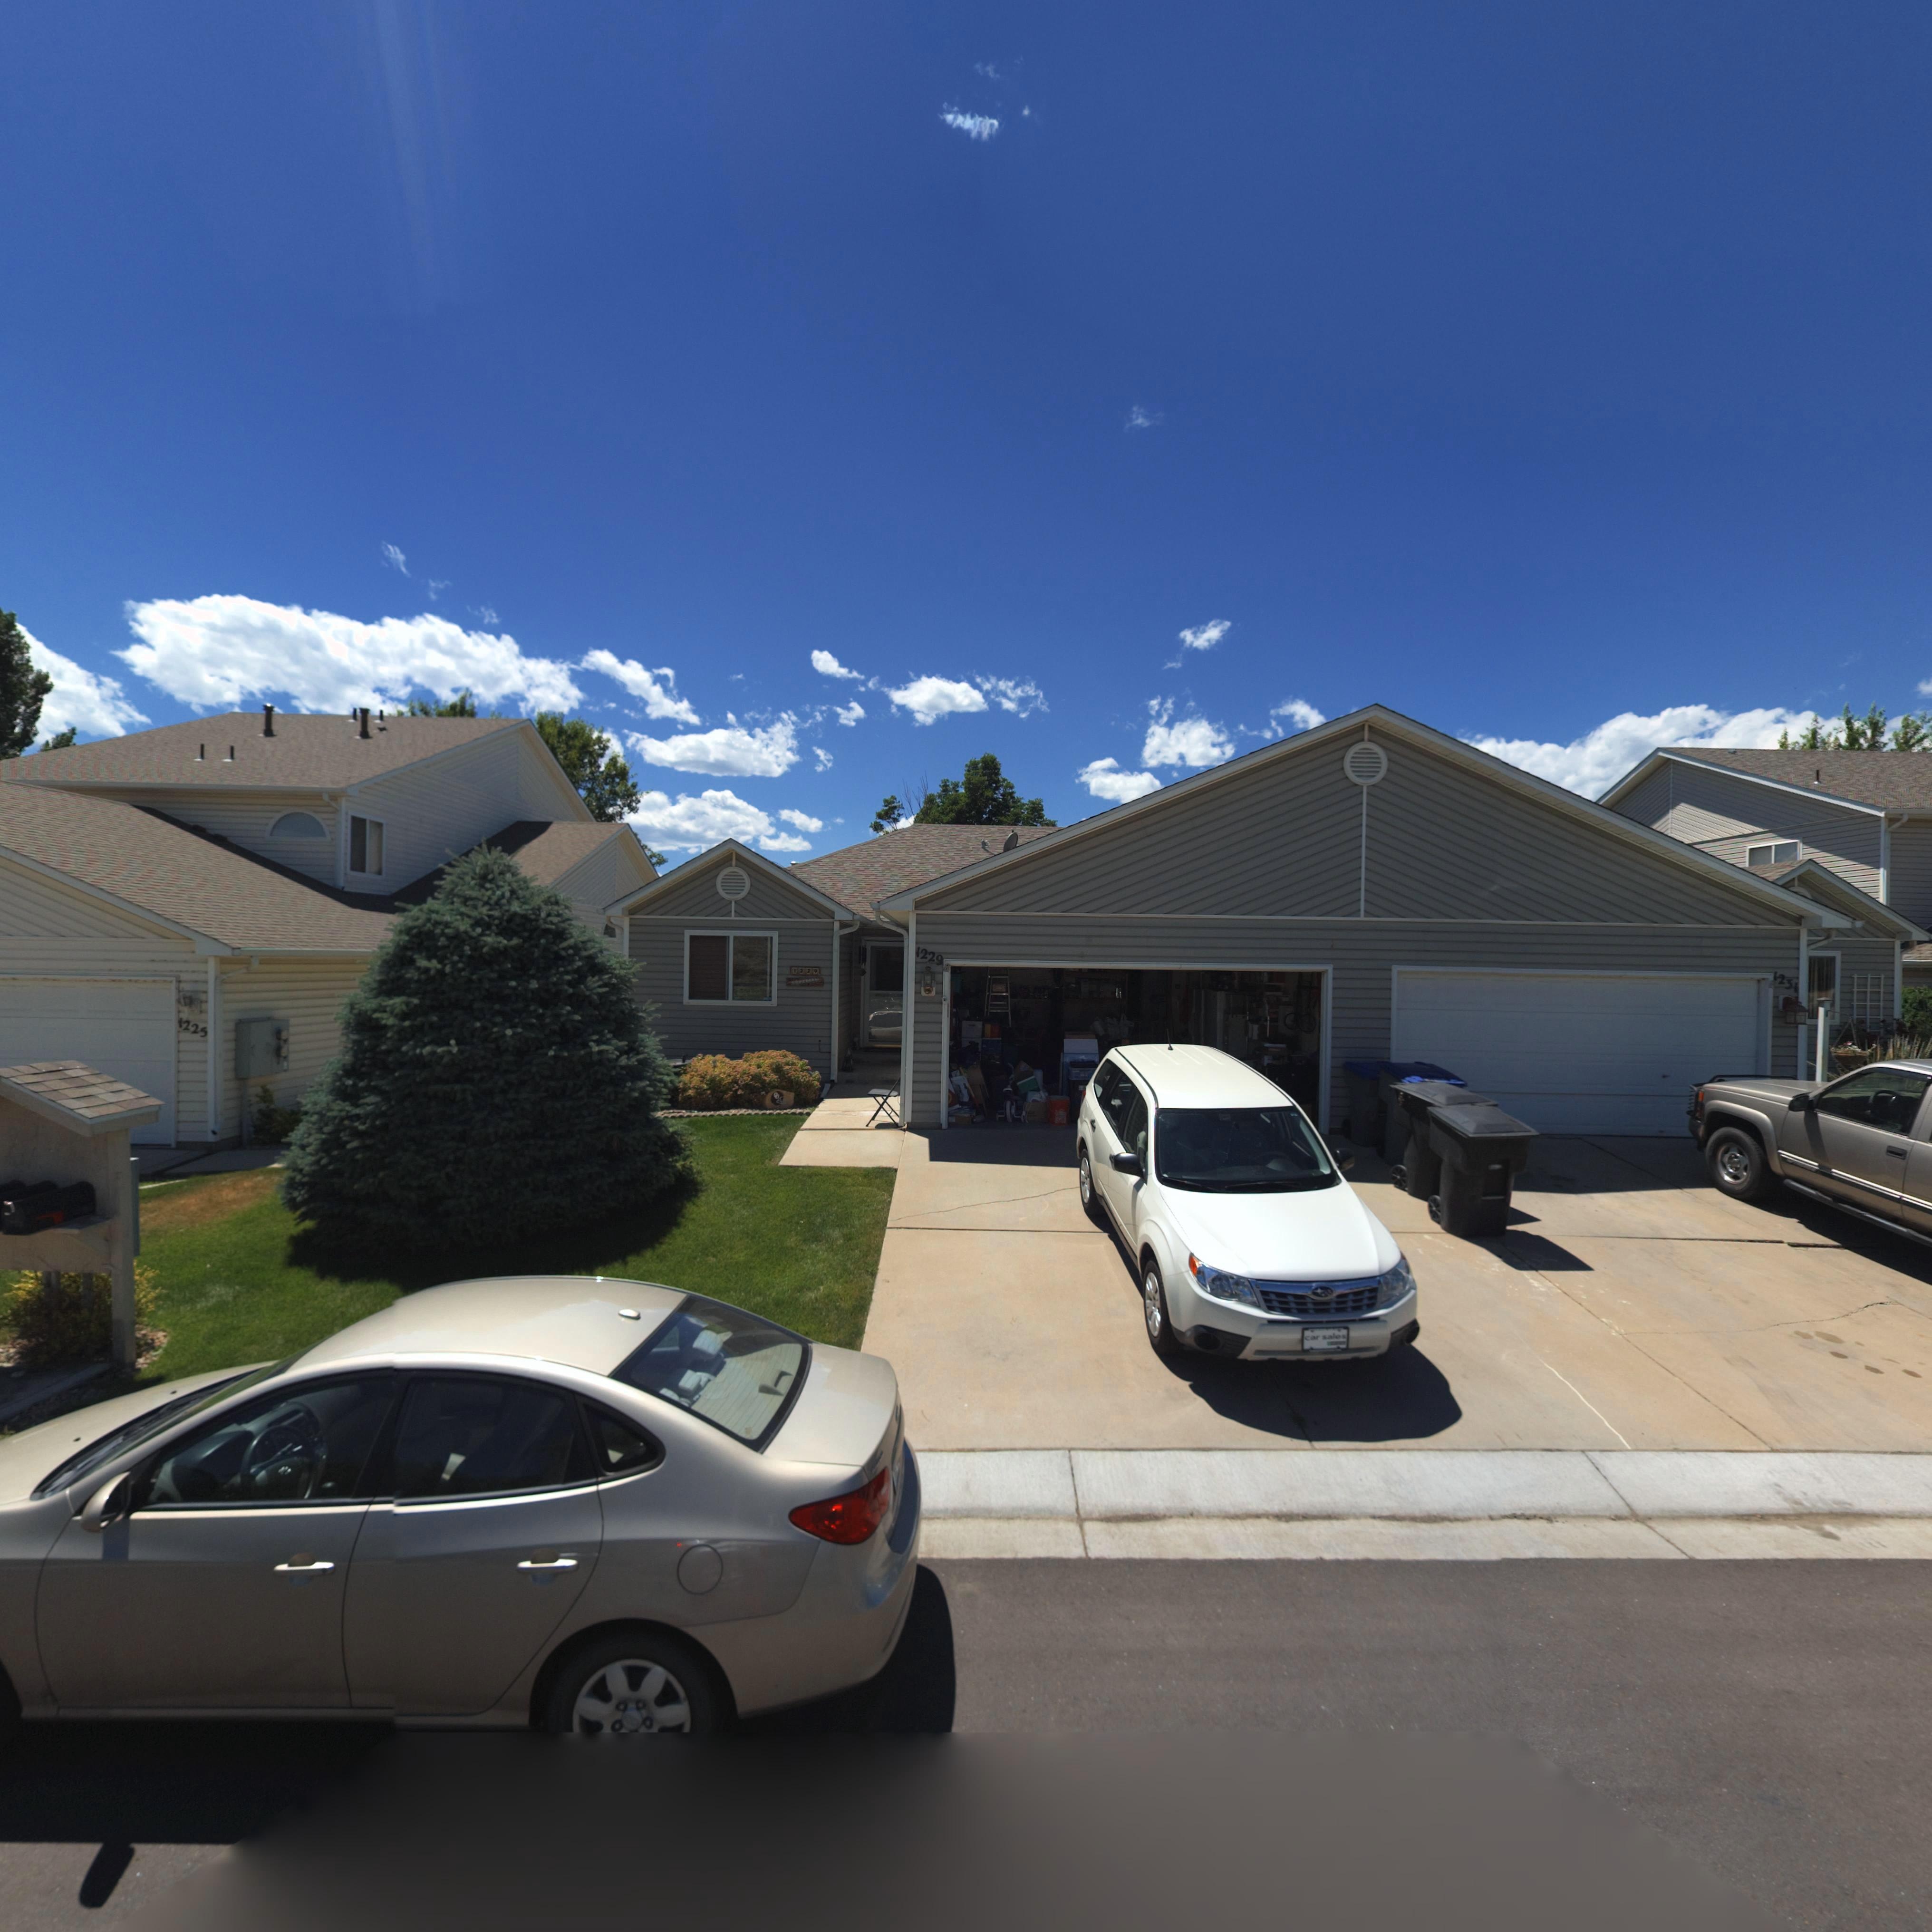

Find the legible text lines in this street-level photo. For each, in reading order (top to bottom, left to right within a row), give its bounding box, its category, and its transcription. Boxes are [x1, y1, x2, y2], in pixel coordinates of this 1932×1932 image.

[916, 946, 944, 966] StreetNumber: 1229
[793, 967, 817, 974] StreetNumber: 1229
[1772, 970, 1798, 994] StreetNumber: 1231
[177, 1016, 208, 1038] StreetNumber: 1225